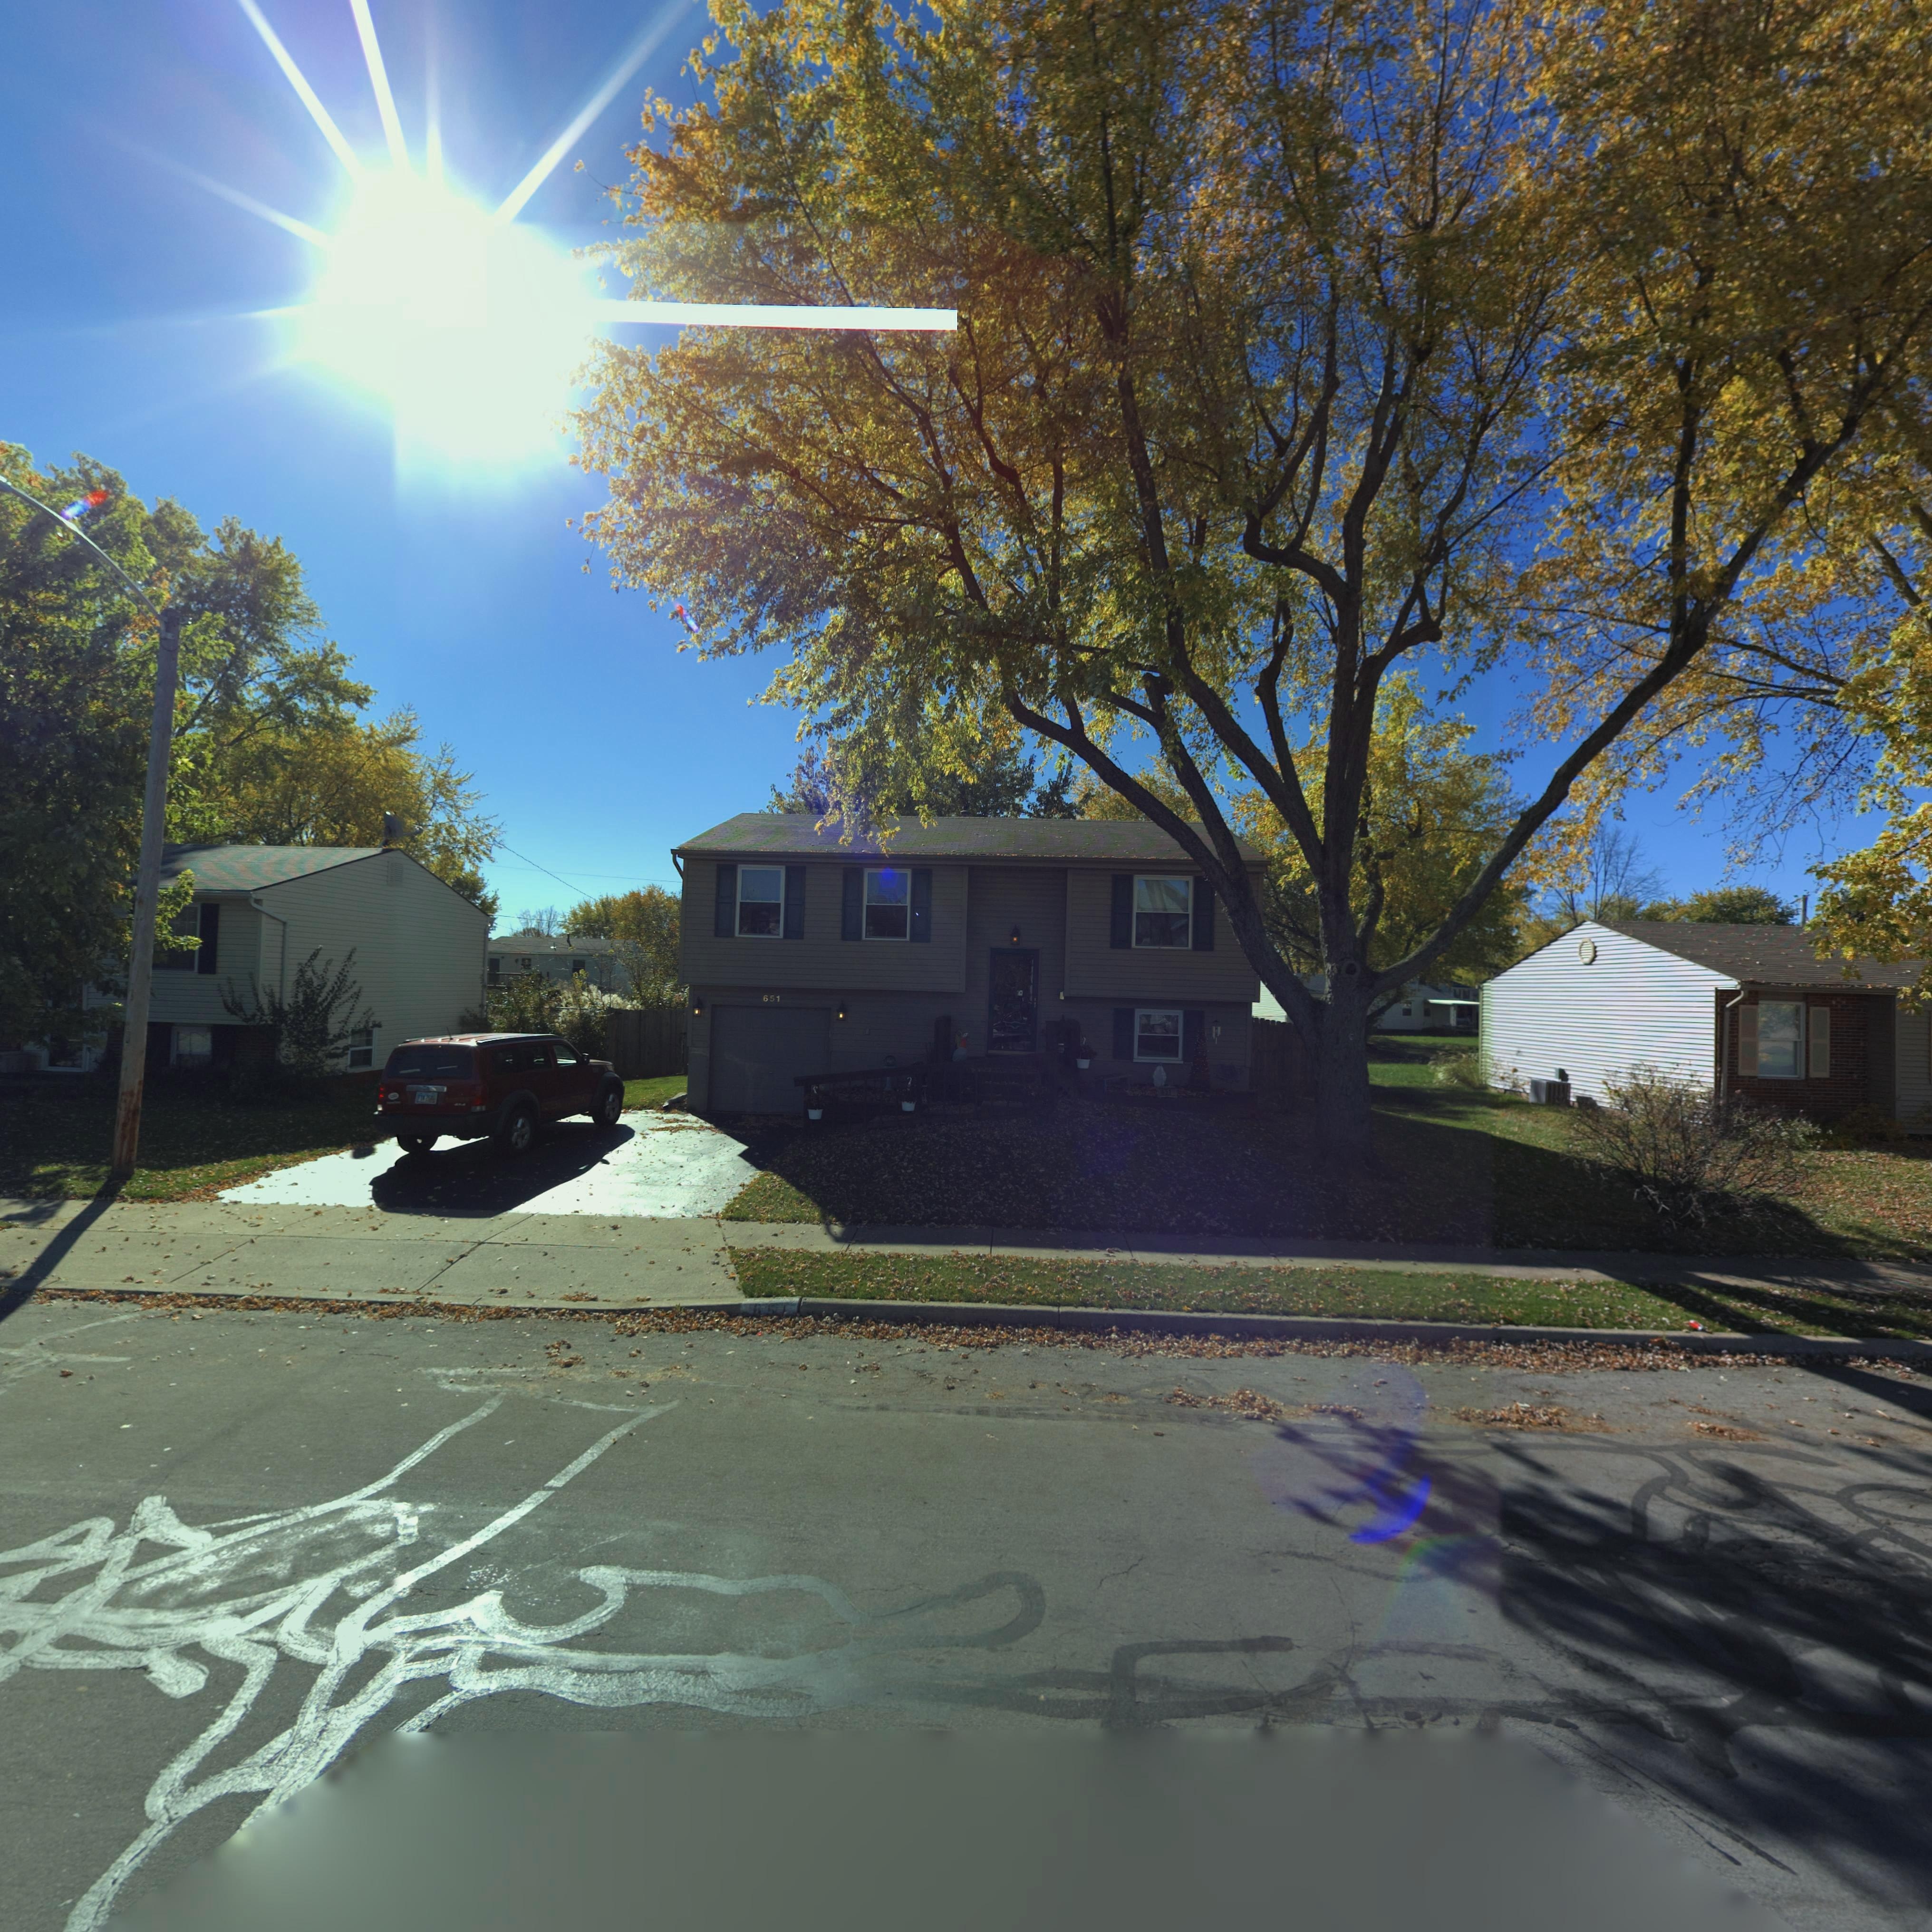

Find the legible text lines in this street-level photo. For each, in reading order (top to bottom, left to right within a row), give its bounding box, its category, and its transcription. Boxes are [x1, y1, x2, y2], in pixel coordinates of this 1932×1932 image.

[763, 995, 780, 1003] StreetNumber: 651
[1160, 1088, 1172, 1096] StreetNumber: *51
[753, 1303, 788, 1318] StreetNumber: 651